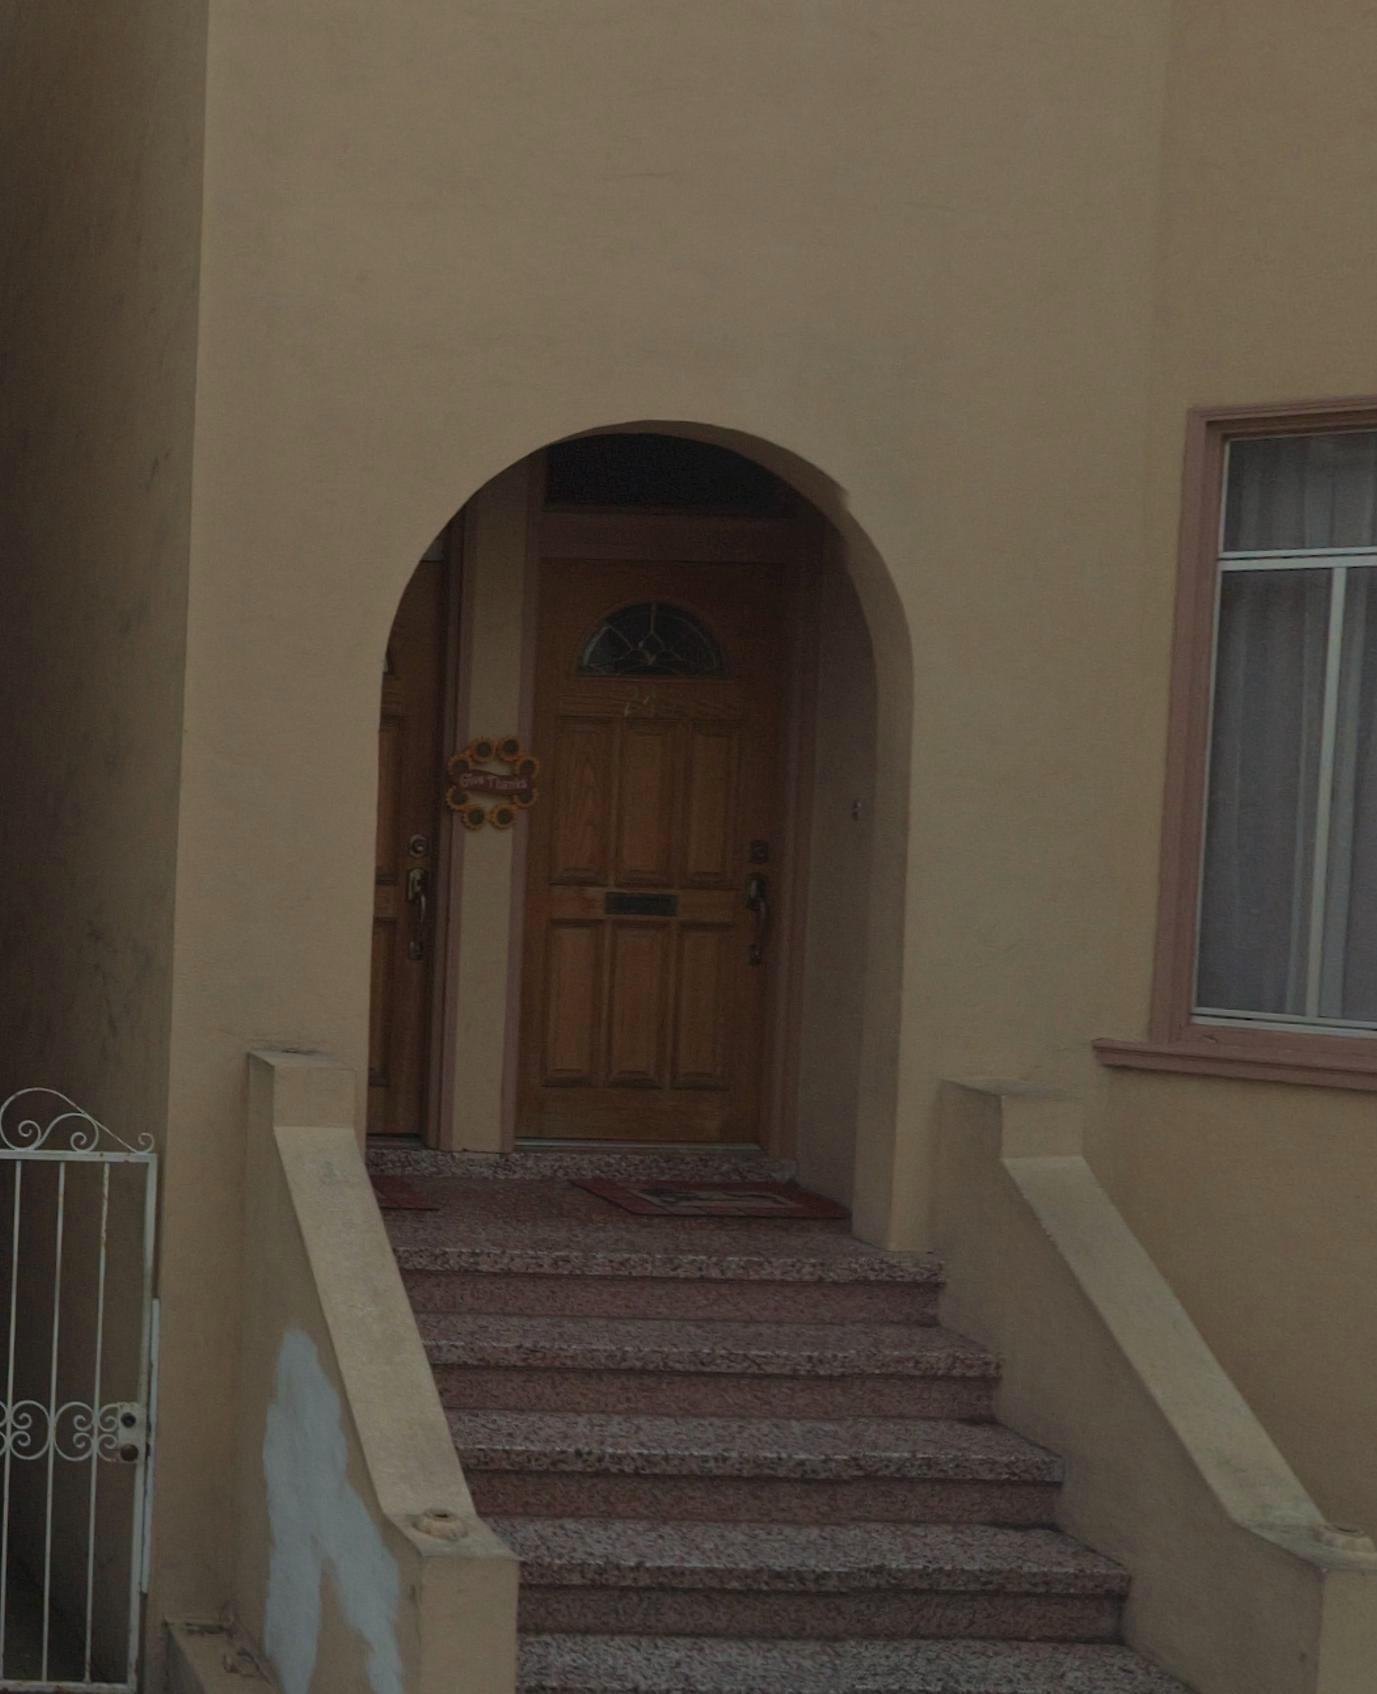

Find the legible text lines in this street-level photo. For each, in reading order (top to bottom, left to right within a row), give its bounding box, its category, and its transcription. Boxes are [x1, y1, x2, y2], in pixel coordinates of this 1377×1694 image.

[622, 683, 679, 718] StreetNumber: 243